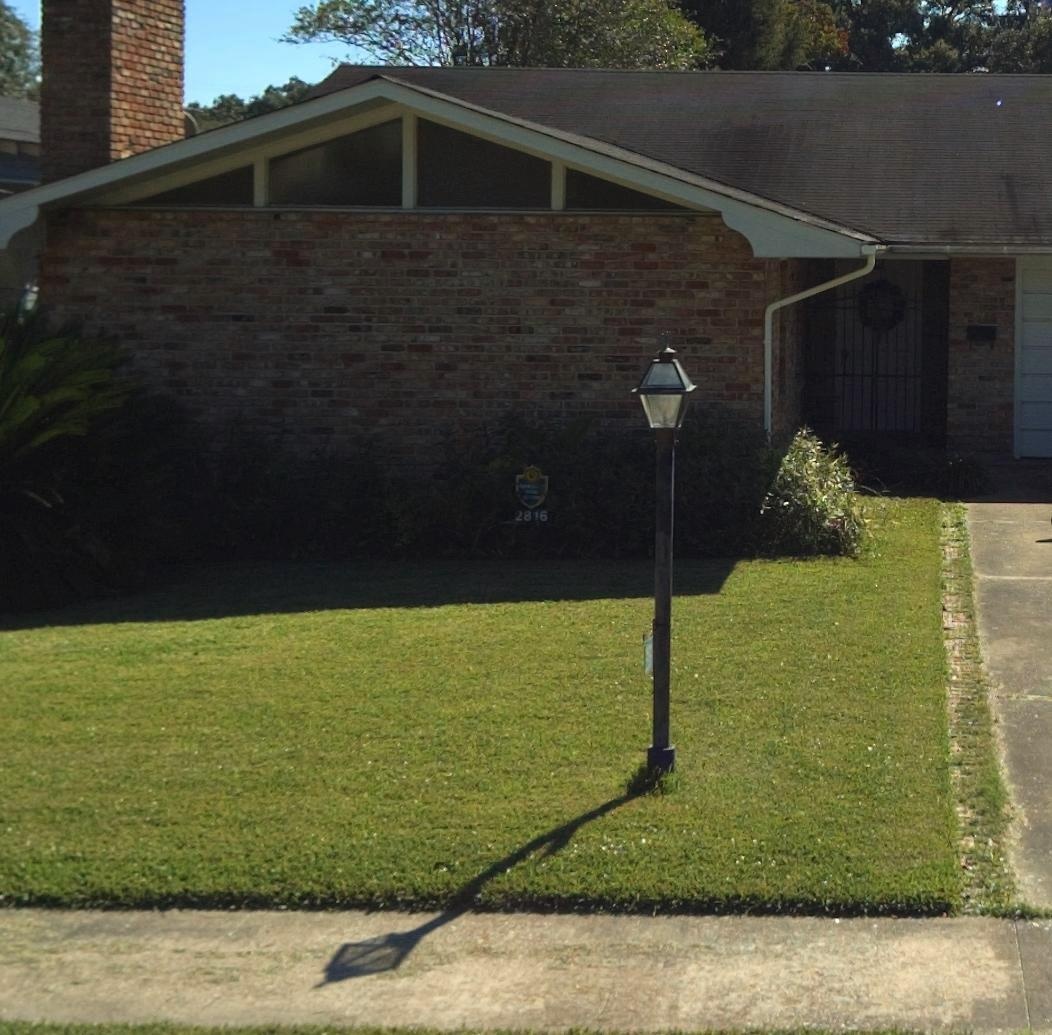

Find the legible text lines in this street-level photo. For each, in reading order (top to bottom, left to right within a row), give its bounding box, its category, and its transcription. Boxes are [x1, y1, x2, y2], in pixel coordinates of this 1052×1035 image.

[513, 508, 550, 523] StreetNumber: 2816